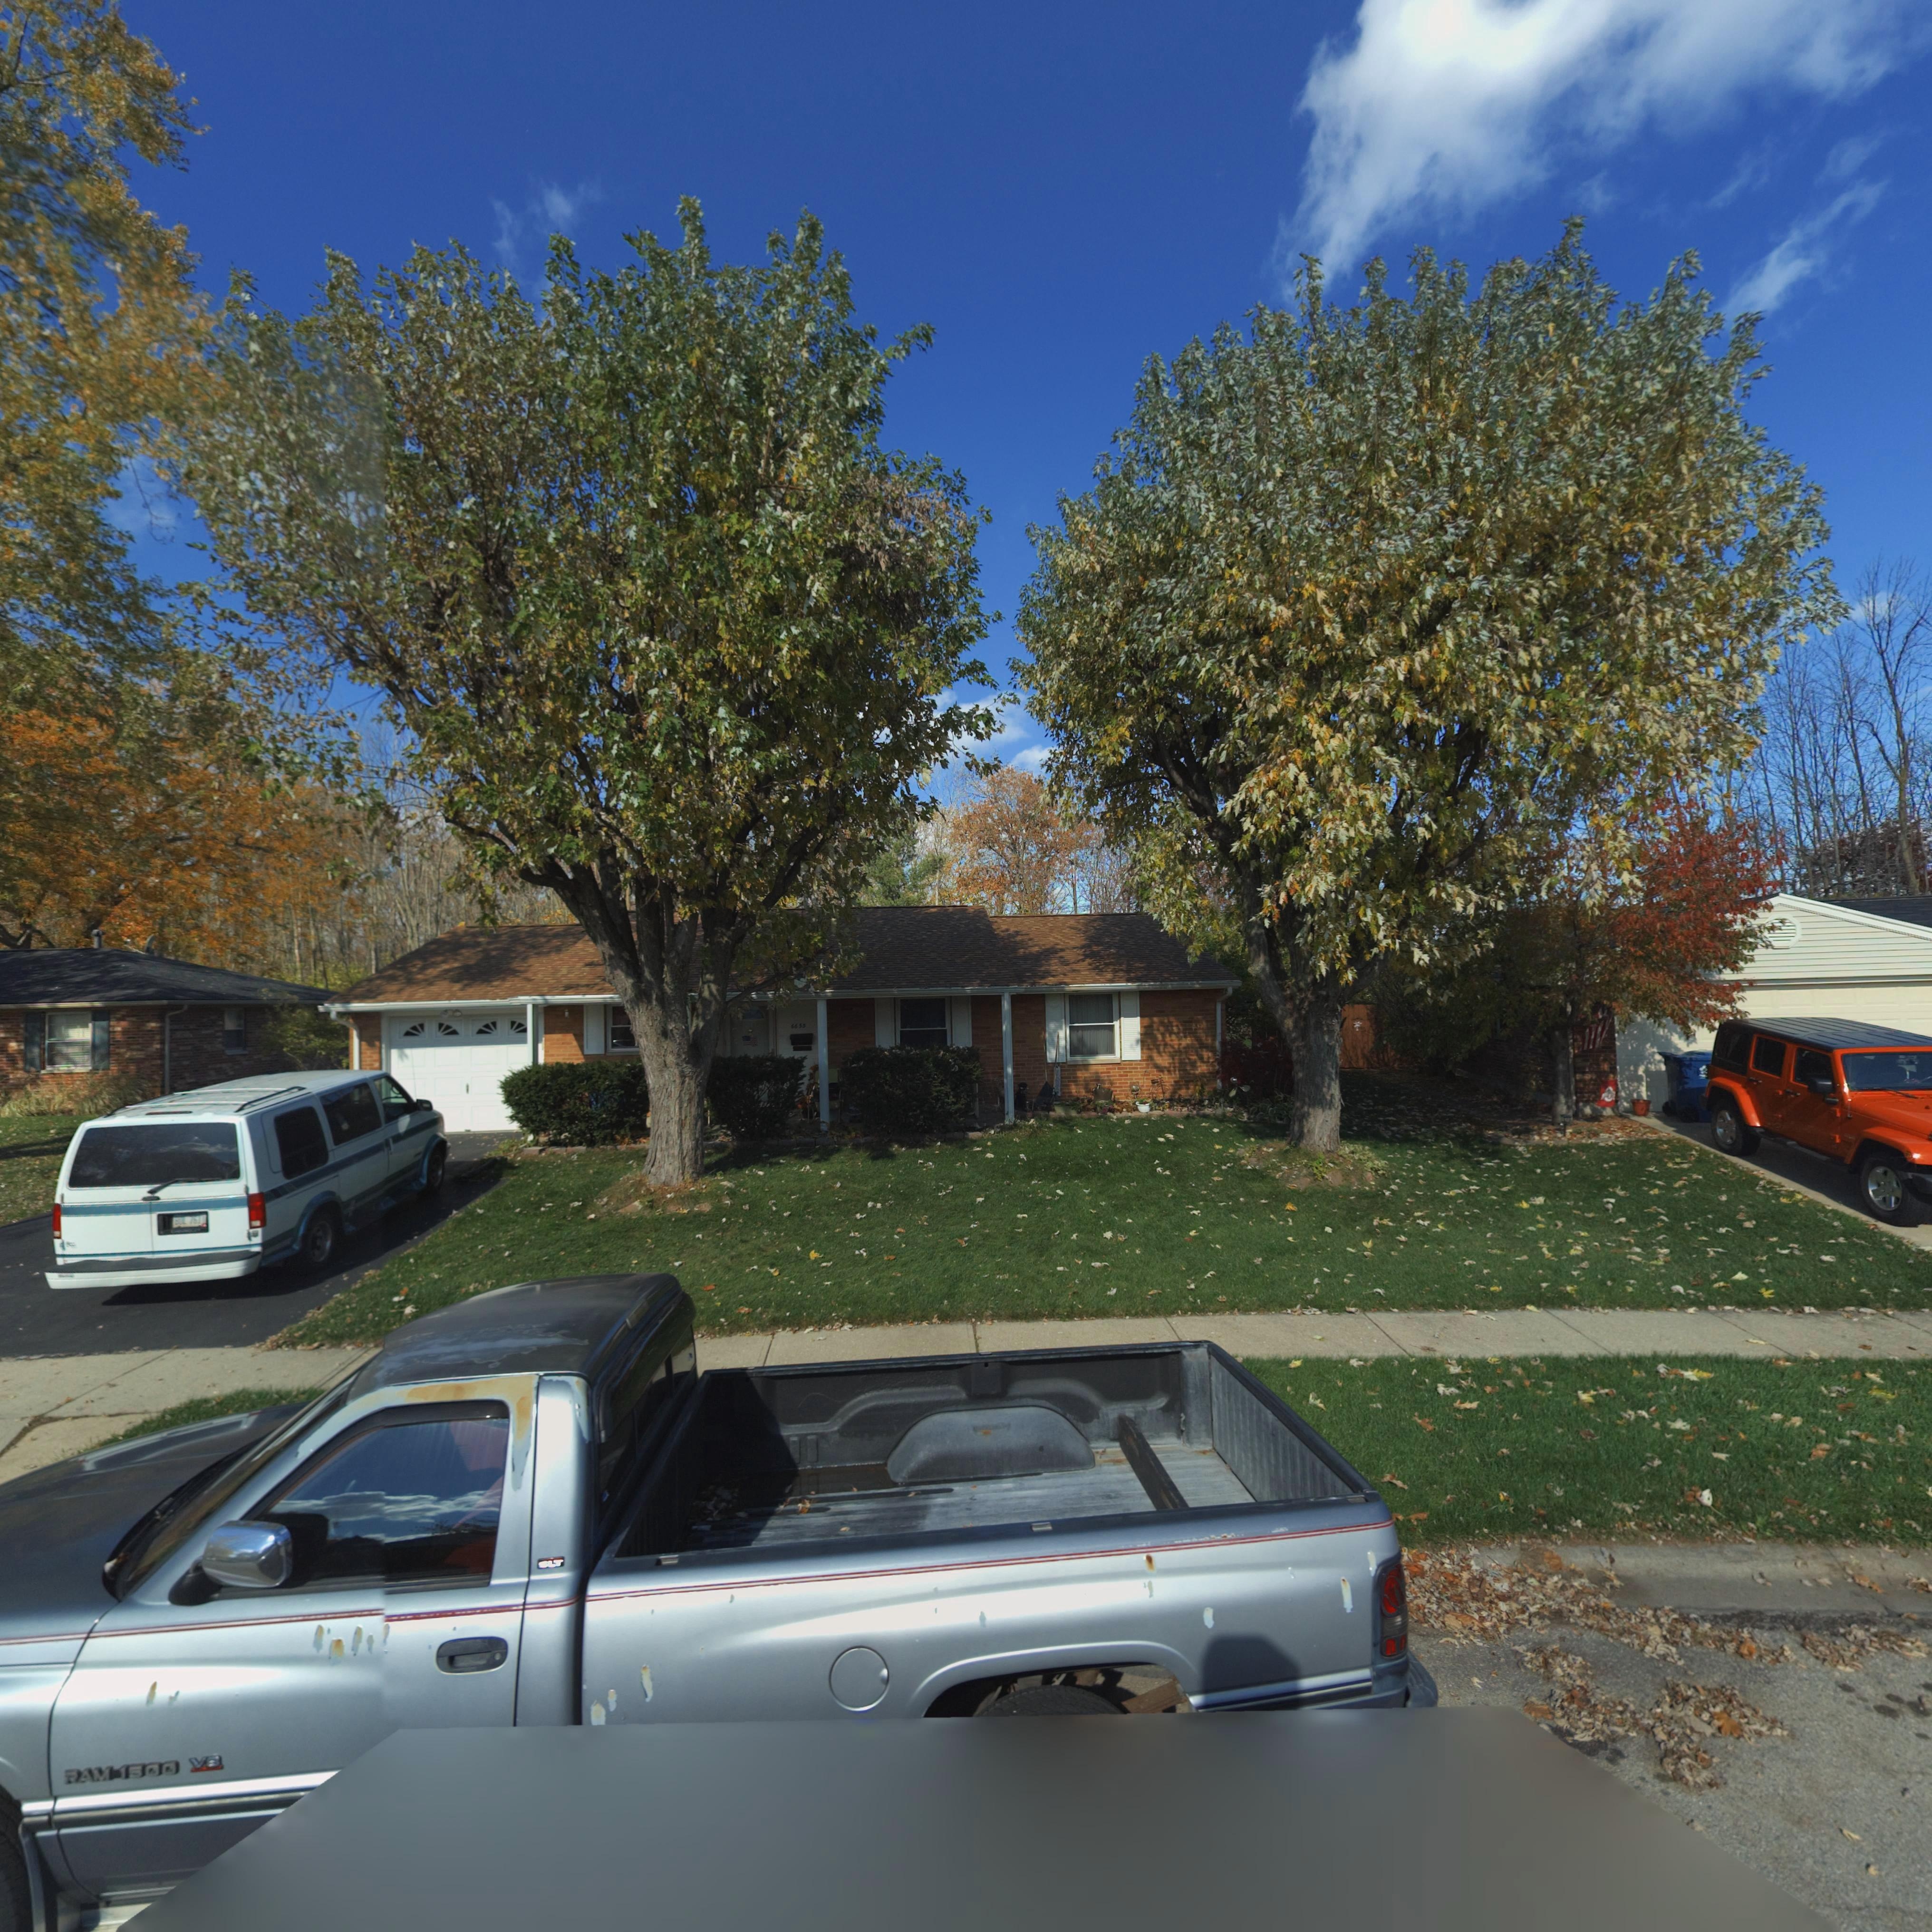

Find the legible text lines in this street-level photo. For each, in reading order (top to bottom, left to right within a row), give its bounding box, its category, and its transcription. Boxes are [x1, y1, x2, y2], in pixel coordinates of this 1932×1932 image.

[790, 1023, 807, 1029] StreetNumber: 6655